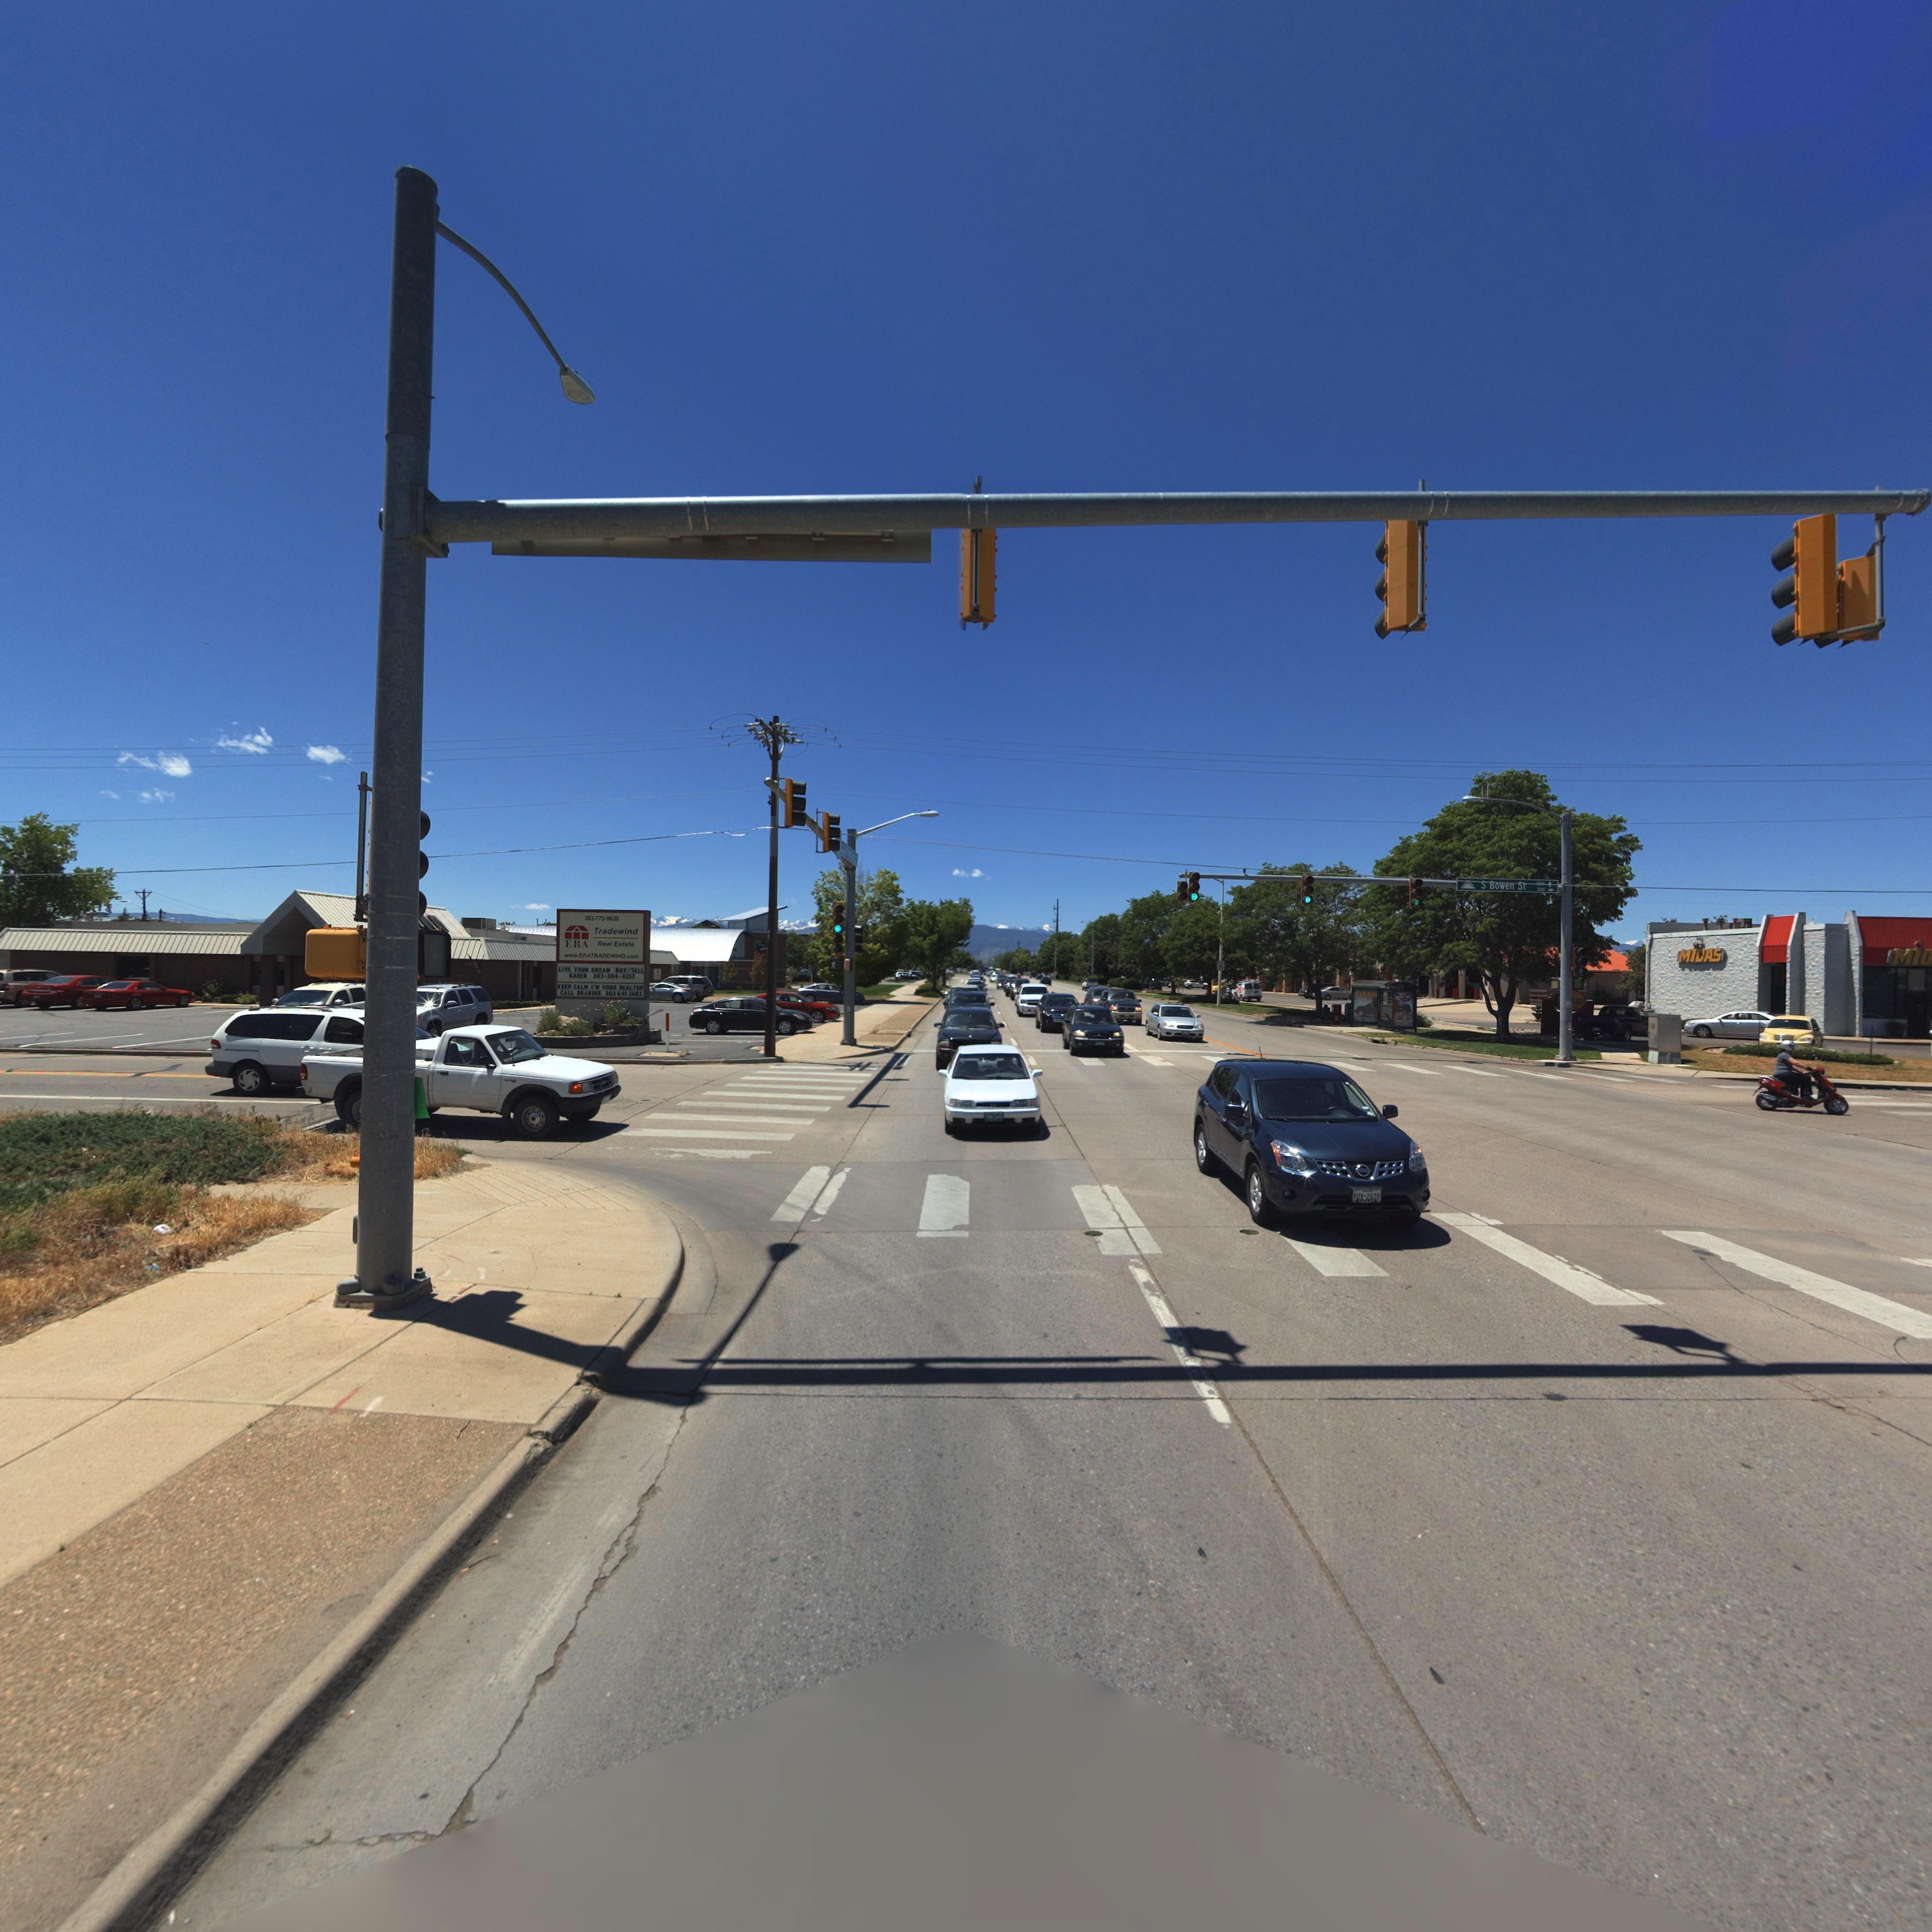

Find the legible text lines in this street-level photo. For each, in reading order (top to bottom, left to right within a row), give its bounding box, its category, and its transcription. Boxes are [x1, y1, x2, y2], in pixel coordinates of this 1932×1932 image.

[1480, 879, 1526, 890] StreetName: S Bowen St
[1536, 886, 1554, 891] StreetNumberRange: **00->
[594, 927, 638, 935] BusinessName: Tradewind
[597, 940, 635, 947] BusinessName: Real Estate
[1678, 942, 1722, 963] BusinessName: MiDAS
[1892, 939, 1924, 965] BusinessName: Mi
[1572, 996, 1585, 1005] BusinessName: **S